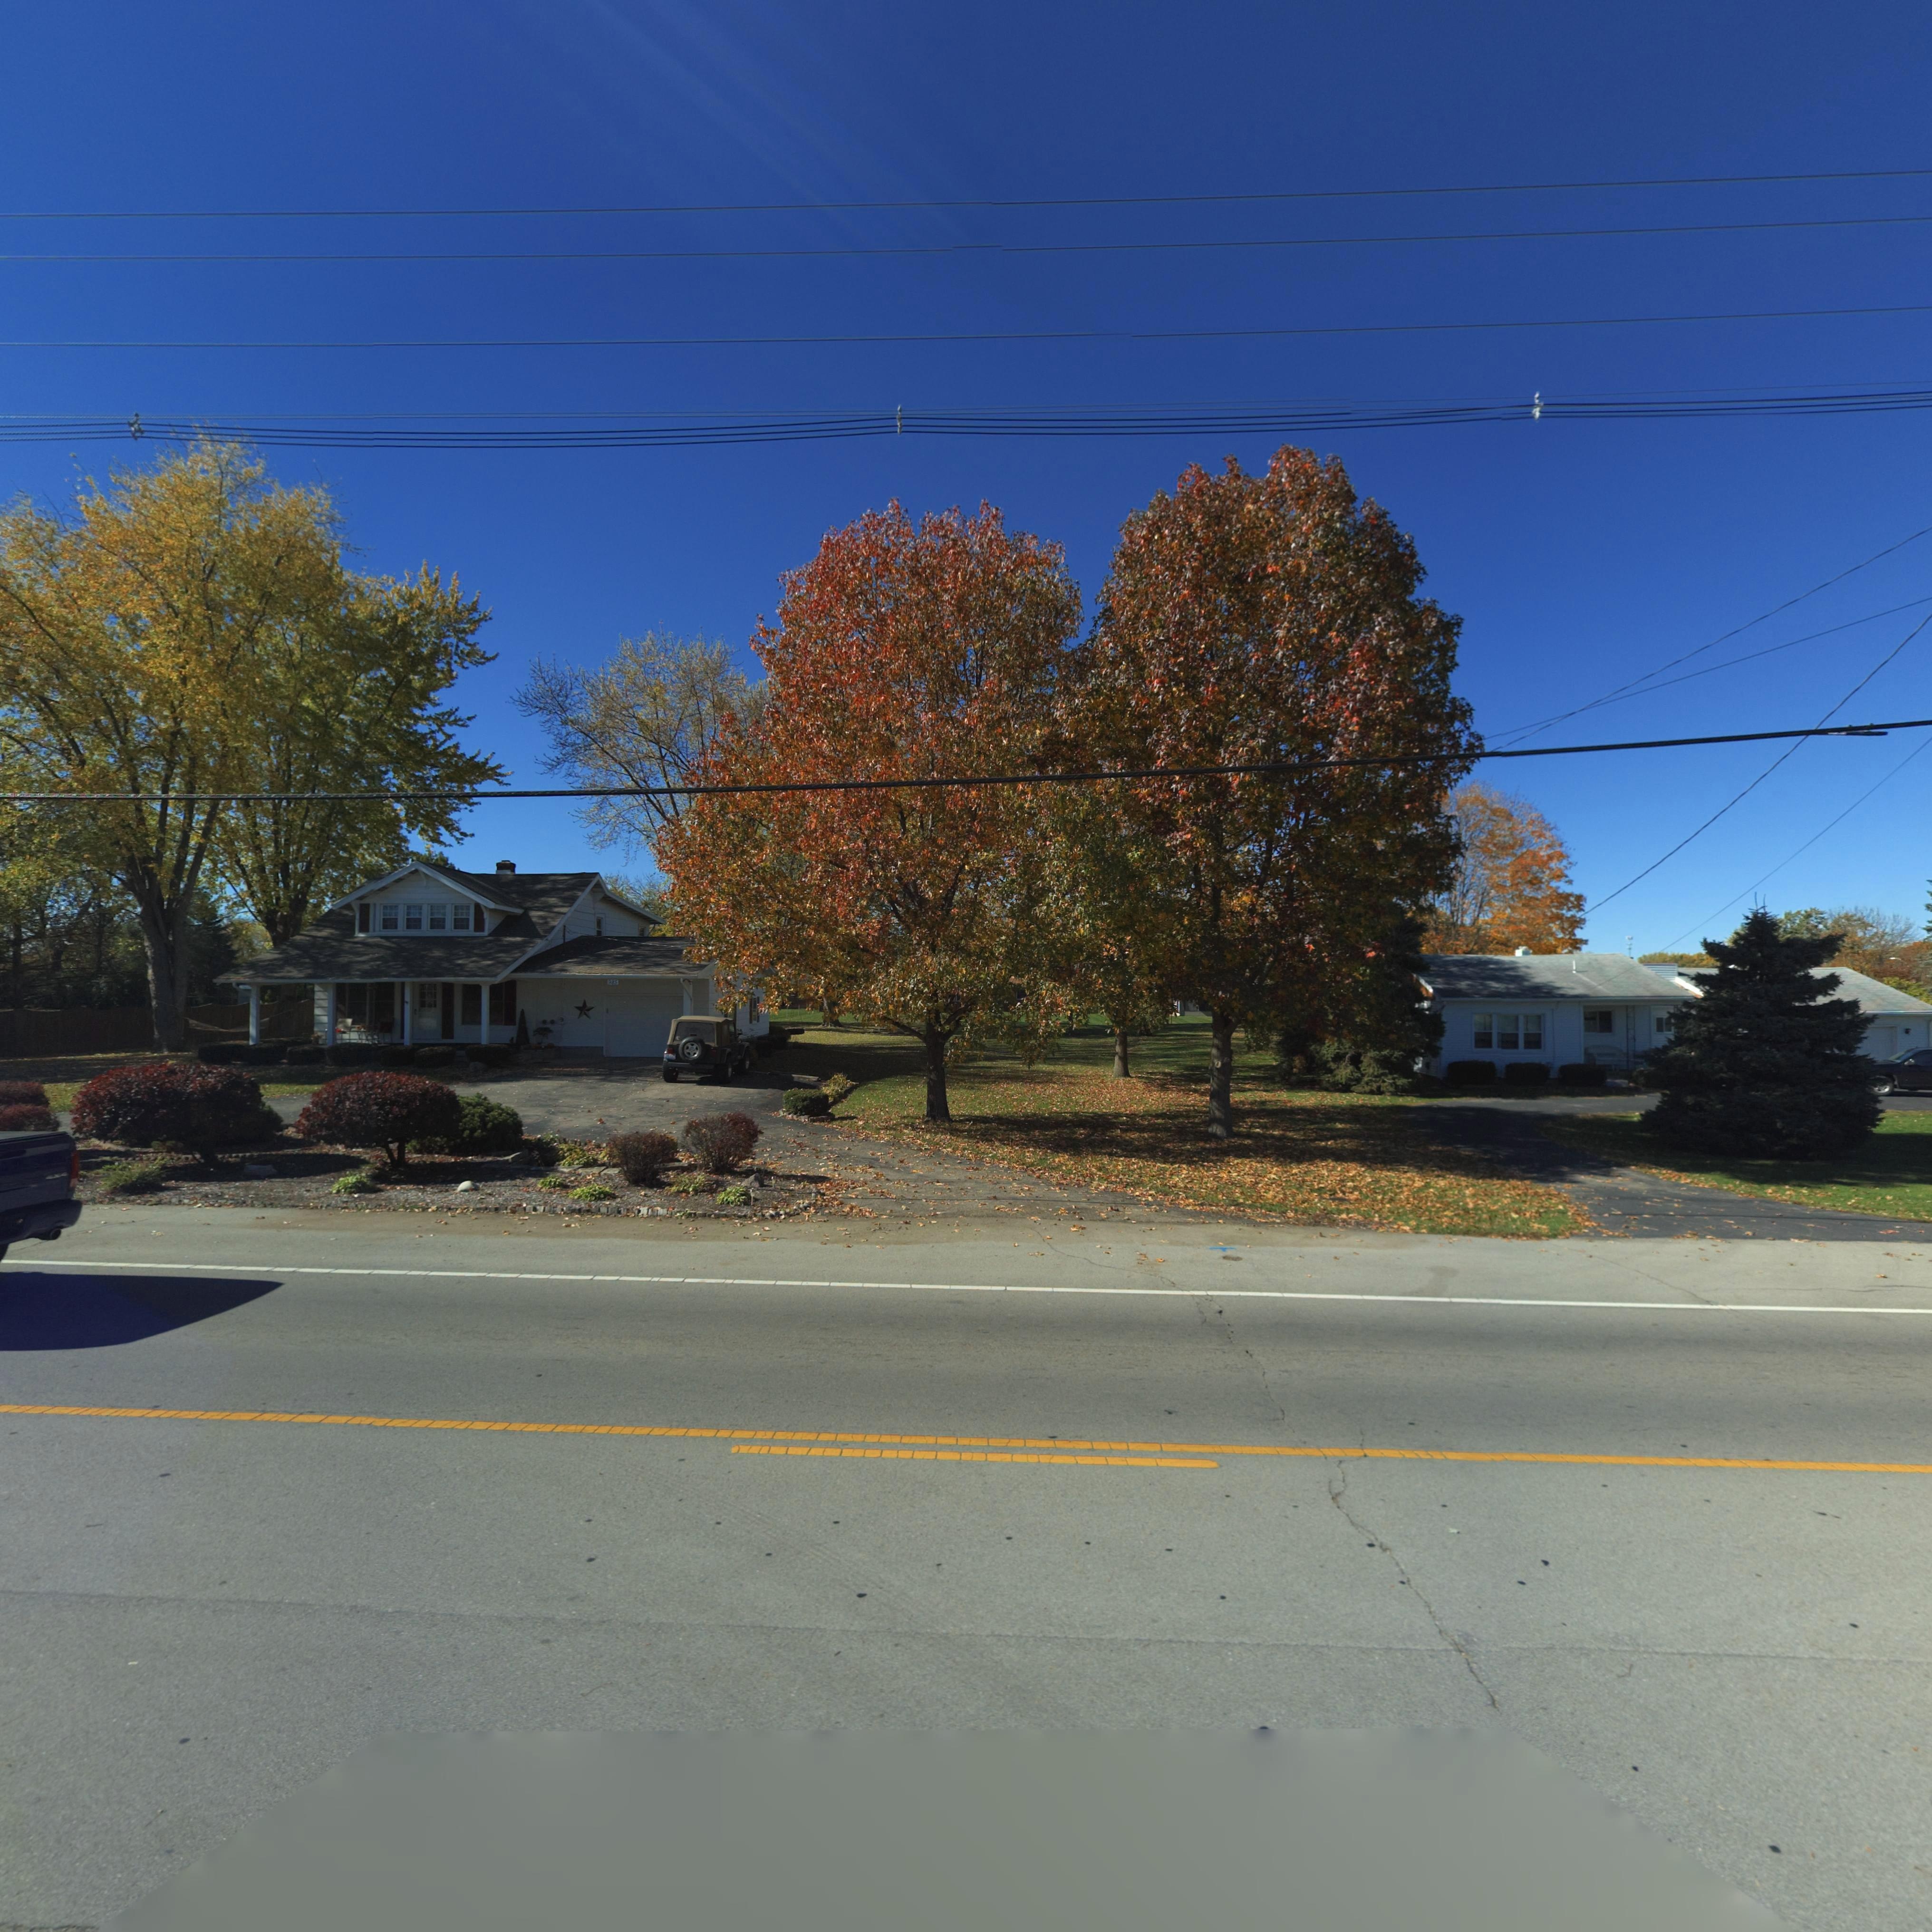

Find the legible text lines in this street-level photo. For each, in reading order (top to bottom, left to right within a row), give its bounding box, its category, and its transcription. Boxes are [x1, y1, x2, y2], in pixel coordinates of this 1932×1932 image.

[607, 979, 618, 985] StreetNumber: 985